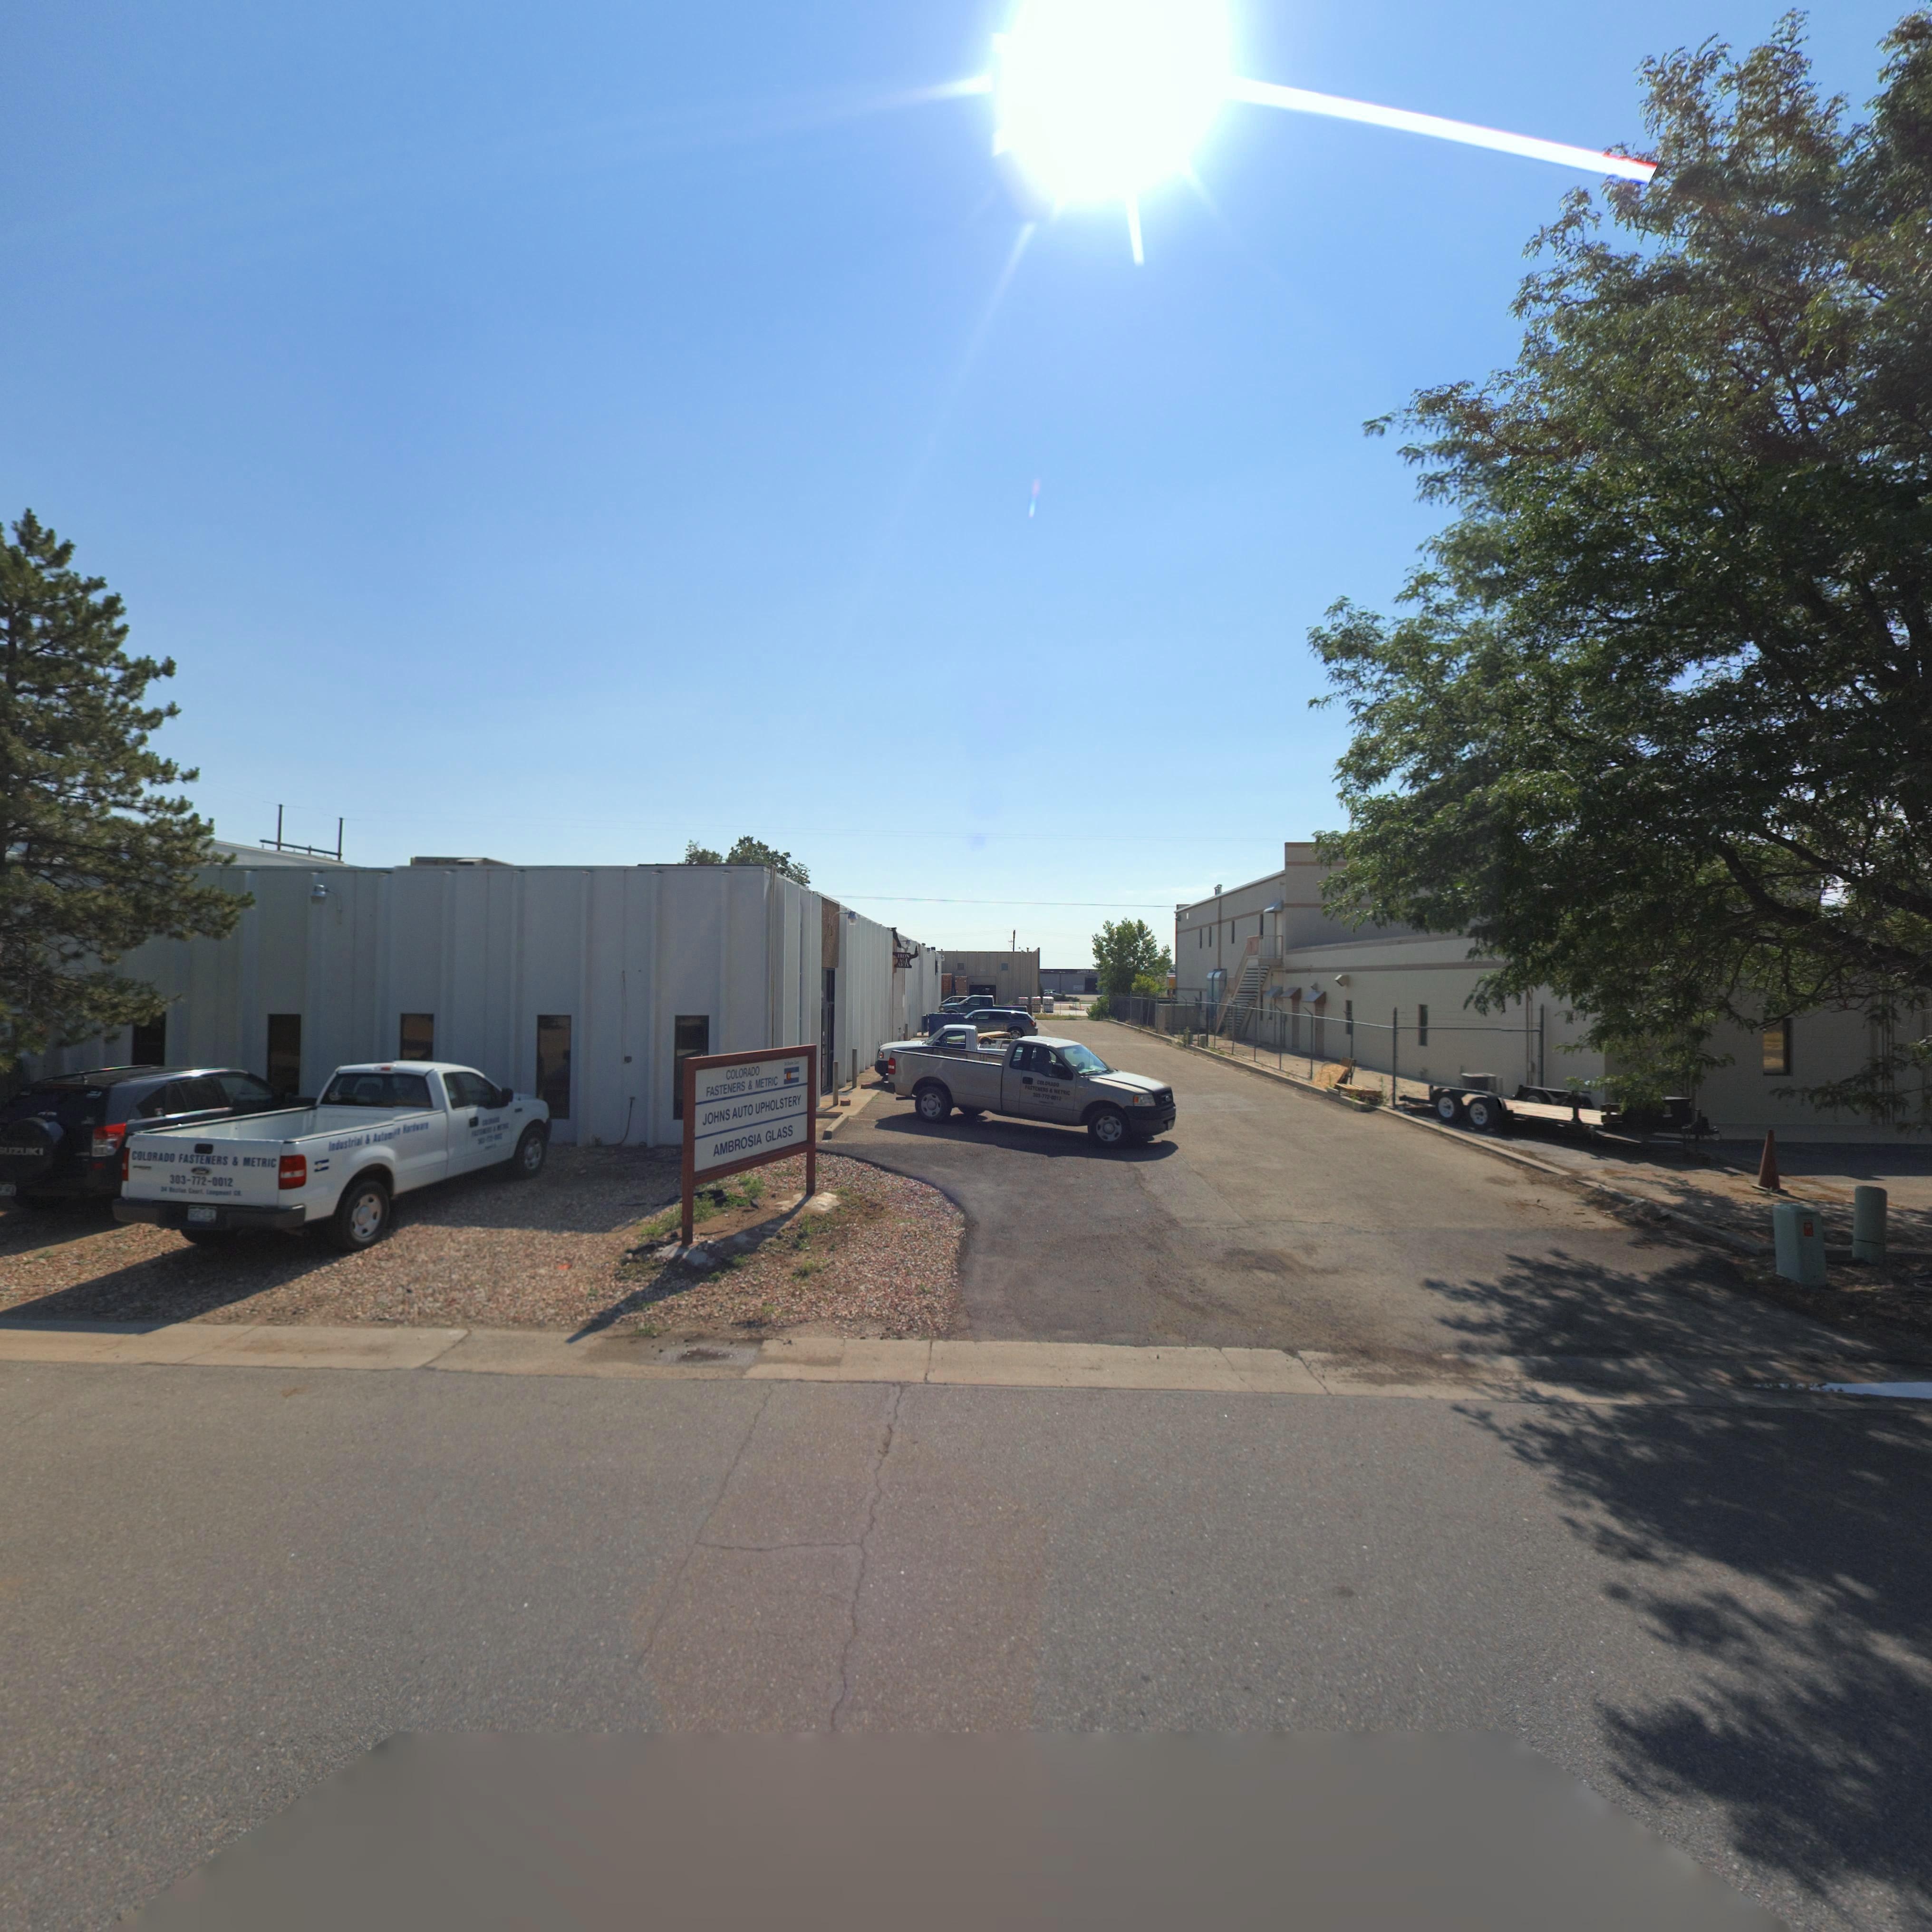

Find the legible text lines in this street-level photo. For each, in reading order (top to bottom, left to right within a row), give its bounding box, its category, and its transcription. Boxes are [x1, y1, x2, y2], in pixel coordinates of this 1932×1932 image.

[898, 958, 908, 963] BusinessName: A*E
[896, 963, 910, 967] BusinessName: ARTS
[897, 953, 910, 958] BusinessName: IRON
[725, 1064, 761, 1080] BusinessName: COLORADO
[705, 1075, 779, 1097] BusinessName: FASTENERS & METRIC
[702, 1093, 802, 1125] BusinessName: JOHNS AUTO UPHOLSTERY
[712, 1124, 794, 1157] BusinessName: AMBROSIA GLASS